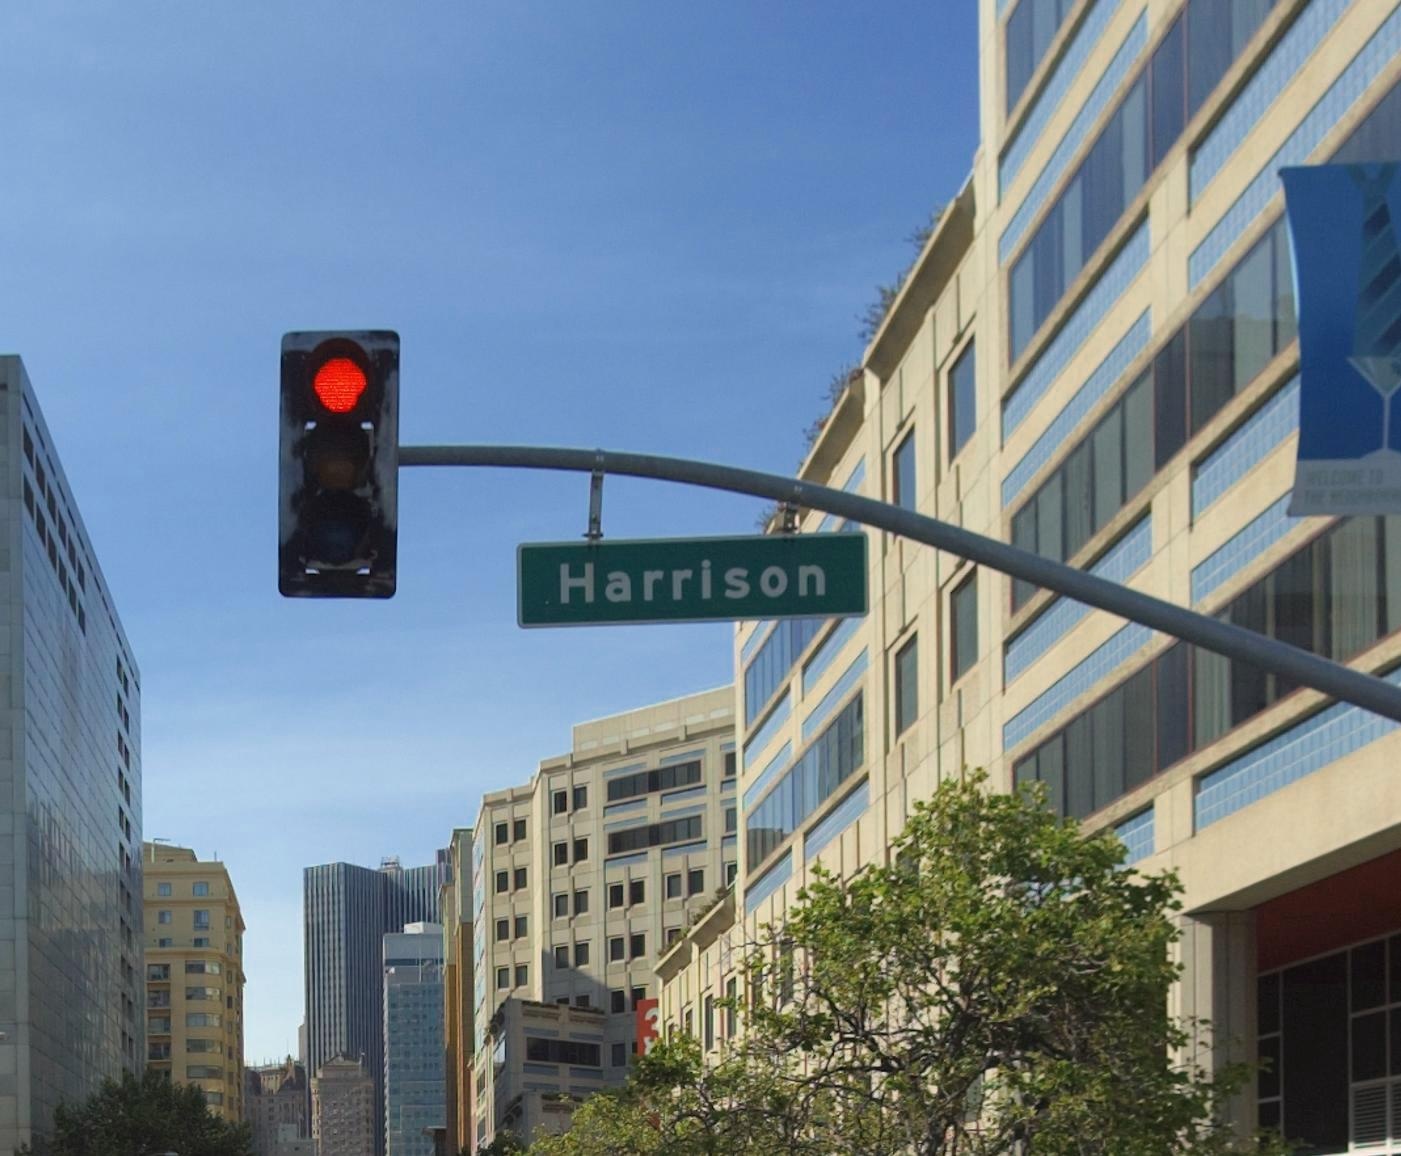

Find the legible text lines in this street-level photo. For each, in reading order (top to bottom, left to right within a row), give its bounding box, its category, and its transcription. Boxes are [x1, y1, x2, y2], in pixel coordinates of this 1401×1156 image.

[557, 556, 830, 609] StreetName: Harrison